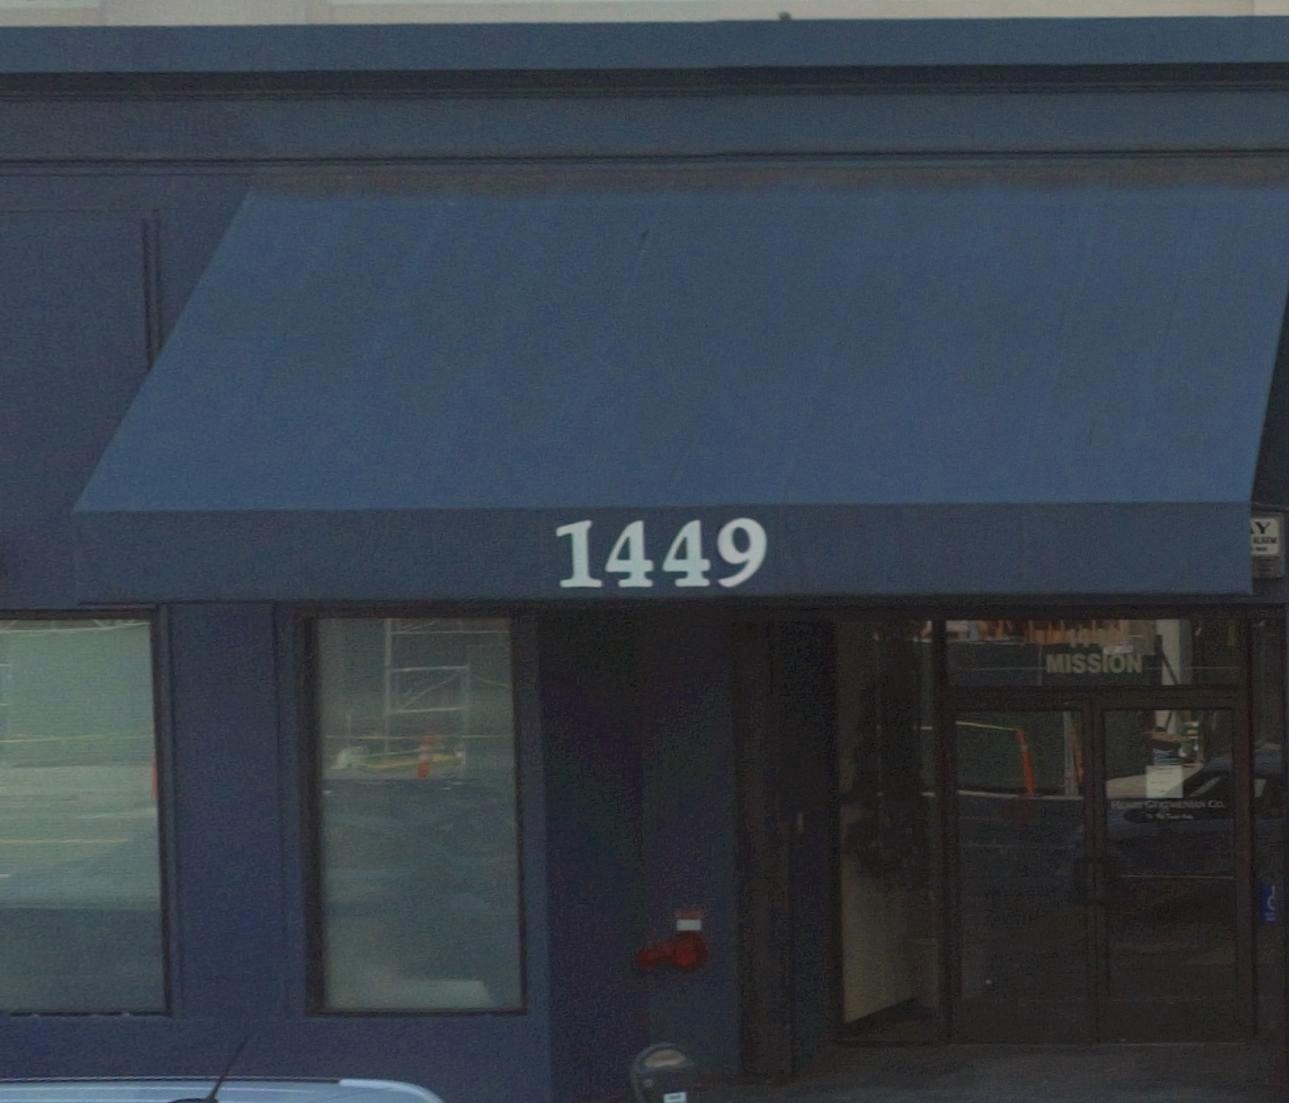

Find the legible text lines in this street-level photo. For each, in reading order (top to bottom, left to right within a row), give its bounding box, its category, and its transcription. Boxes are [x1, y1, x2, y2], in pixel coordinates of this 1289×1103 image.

[553, 517, 770, 591] StreetNumber: 1449
[1045, 652, 1143, 673] None: MISSION